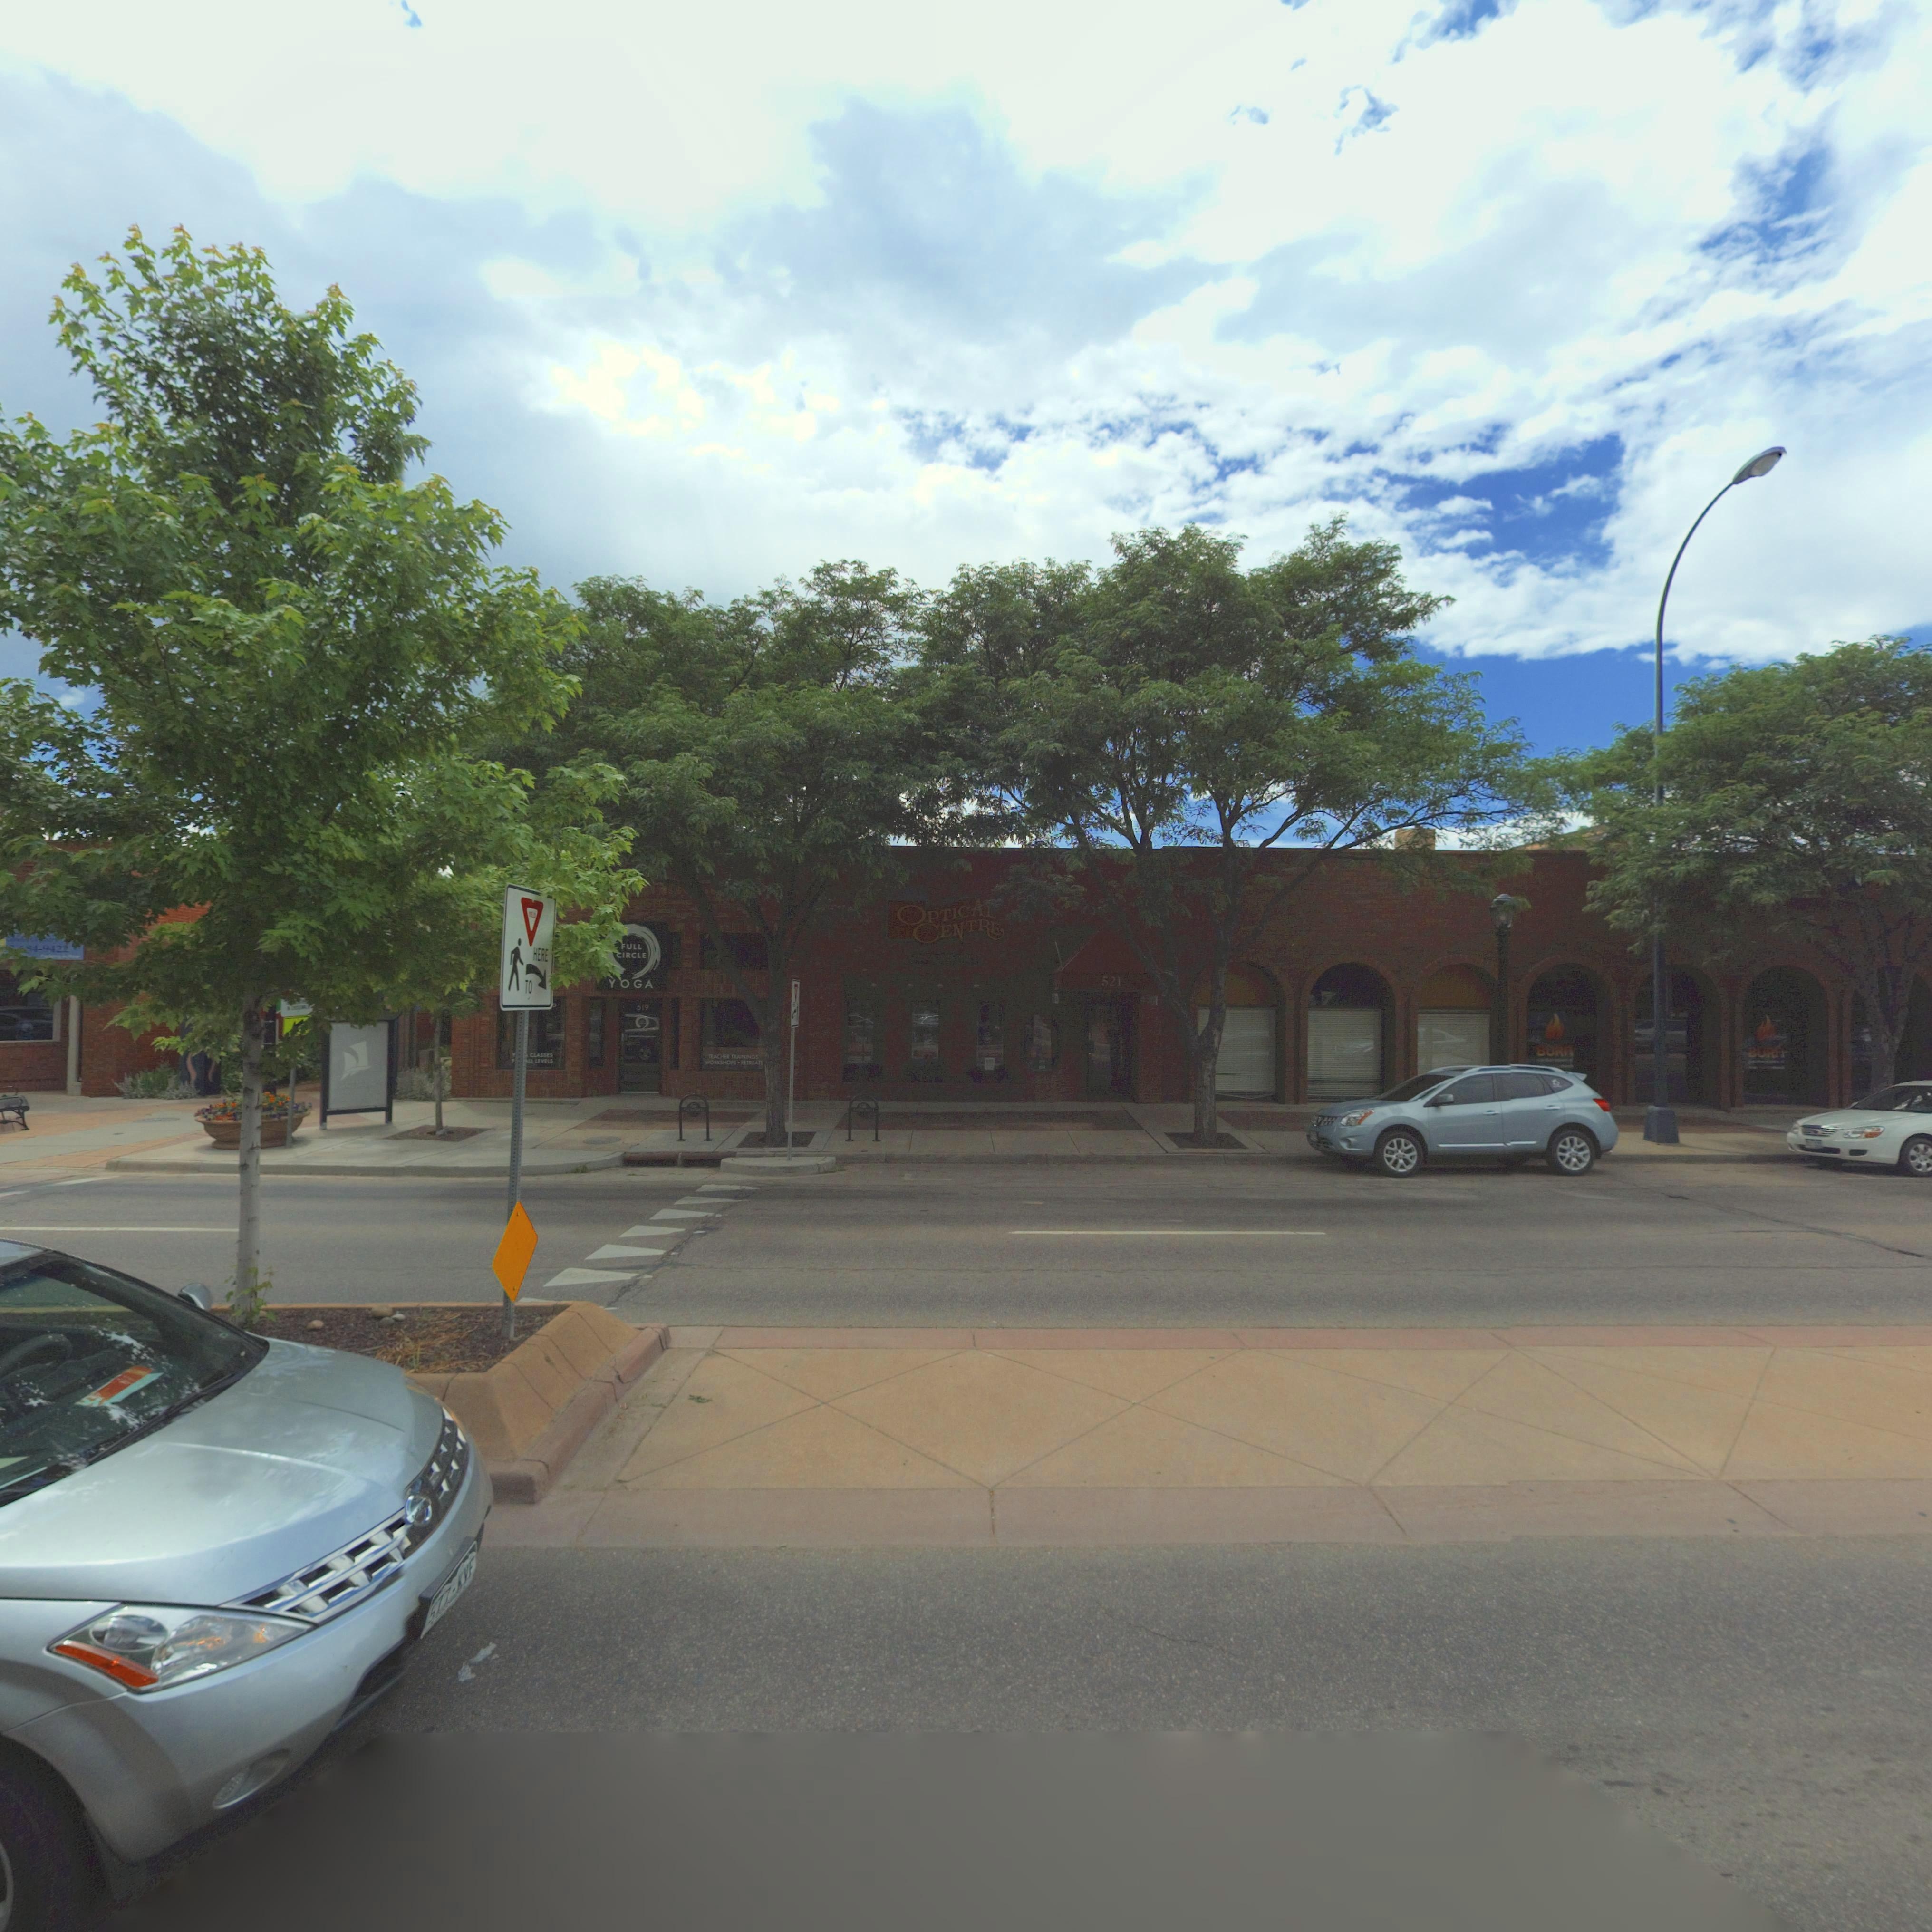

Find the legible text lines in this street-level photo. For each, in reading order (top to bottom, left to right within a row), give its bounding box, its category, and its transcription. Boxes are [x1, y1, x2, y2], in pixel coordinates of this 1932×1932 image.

[893, 896, 997, 926] BusinessName: OPTICAL
[910, 918, 1005, 946] BusinessName: CENTRE
[621, 942, 643, 950] BusinessName: FULL
[616, 951, 647, 959] BusinessName: CIRCLE
[608, 978, 654, 989] BusinessName: YOGA
[1101, 976, 1121, 987] StreetNumber: 521
[634, 1003, 649, 1012] StreetNumber: 519